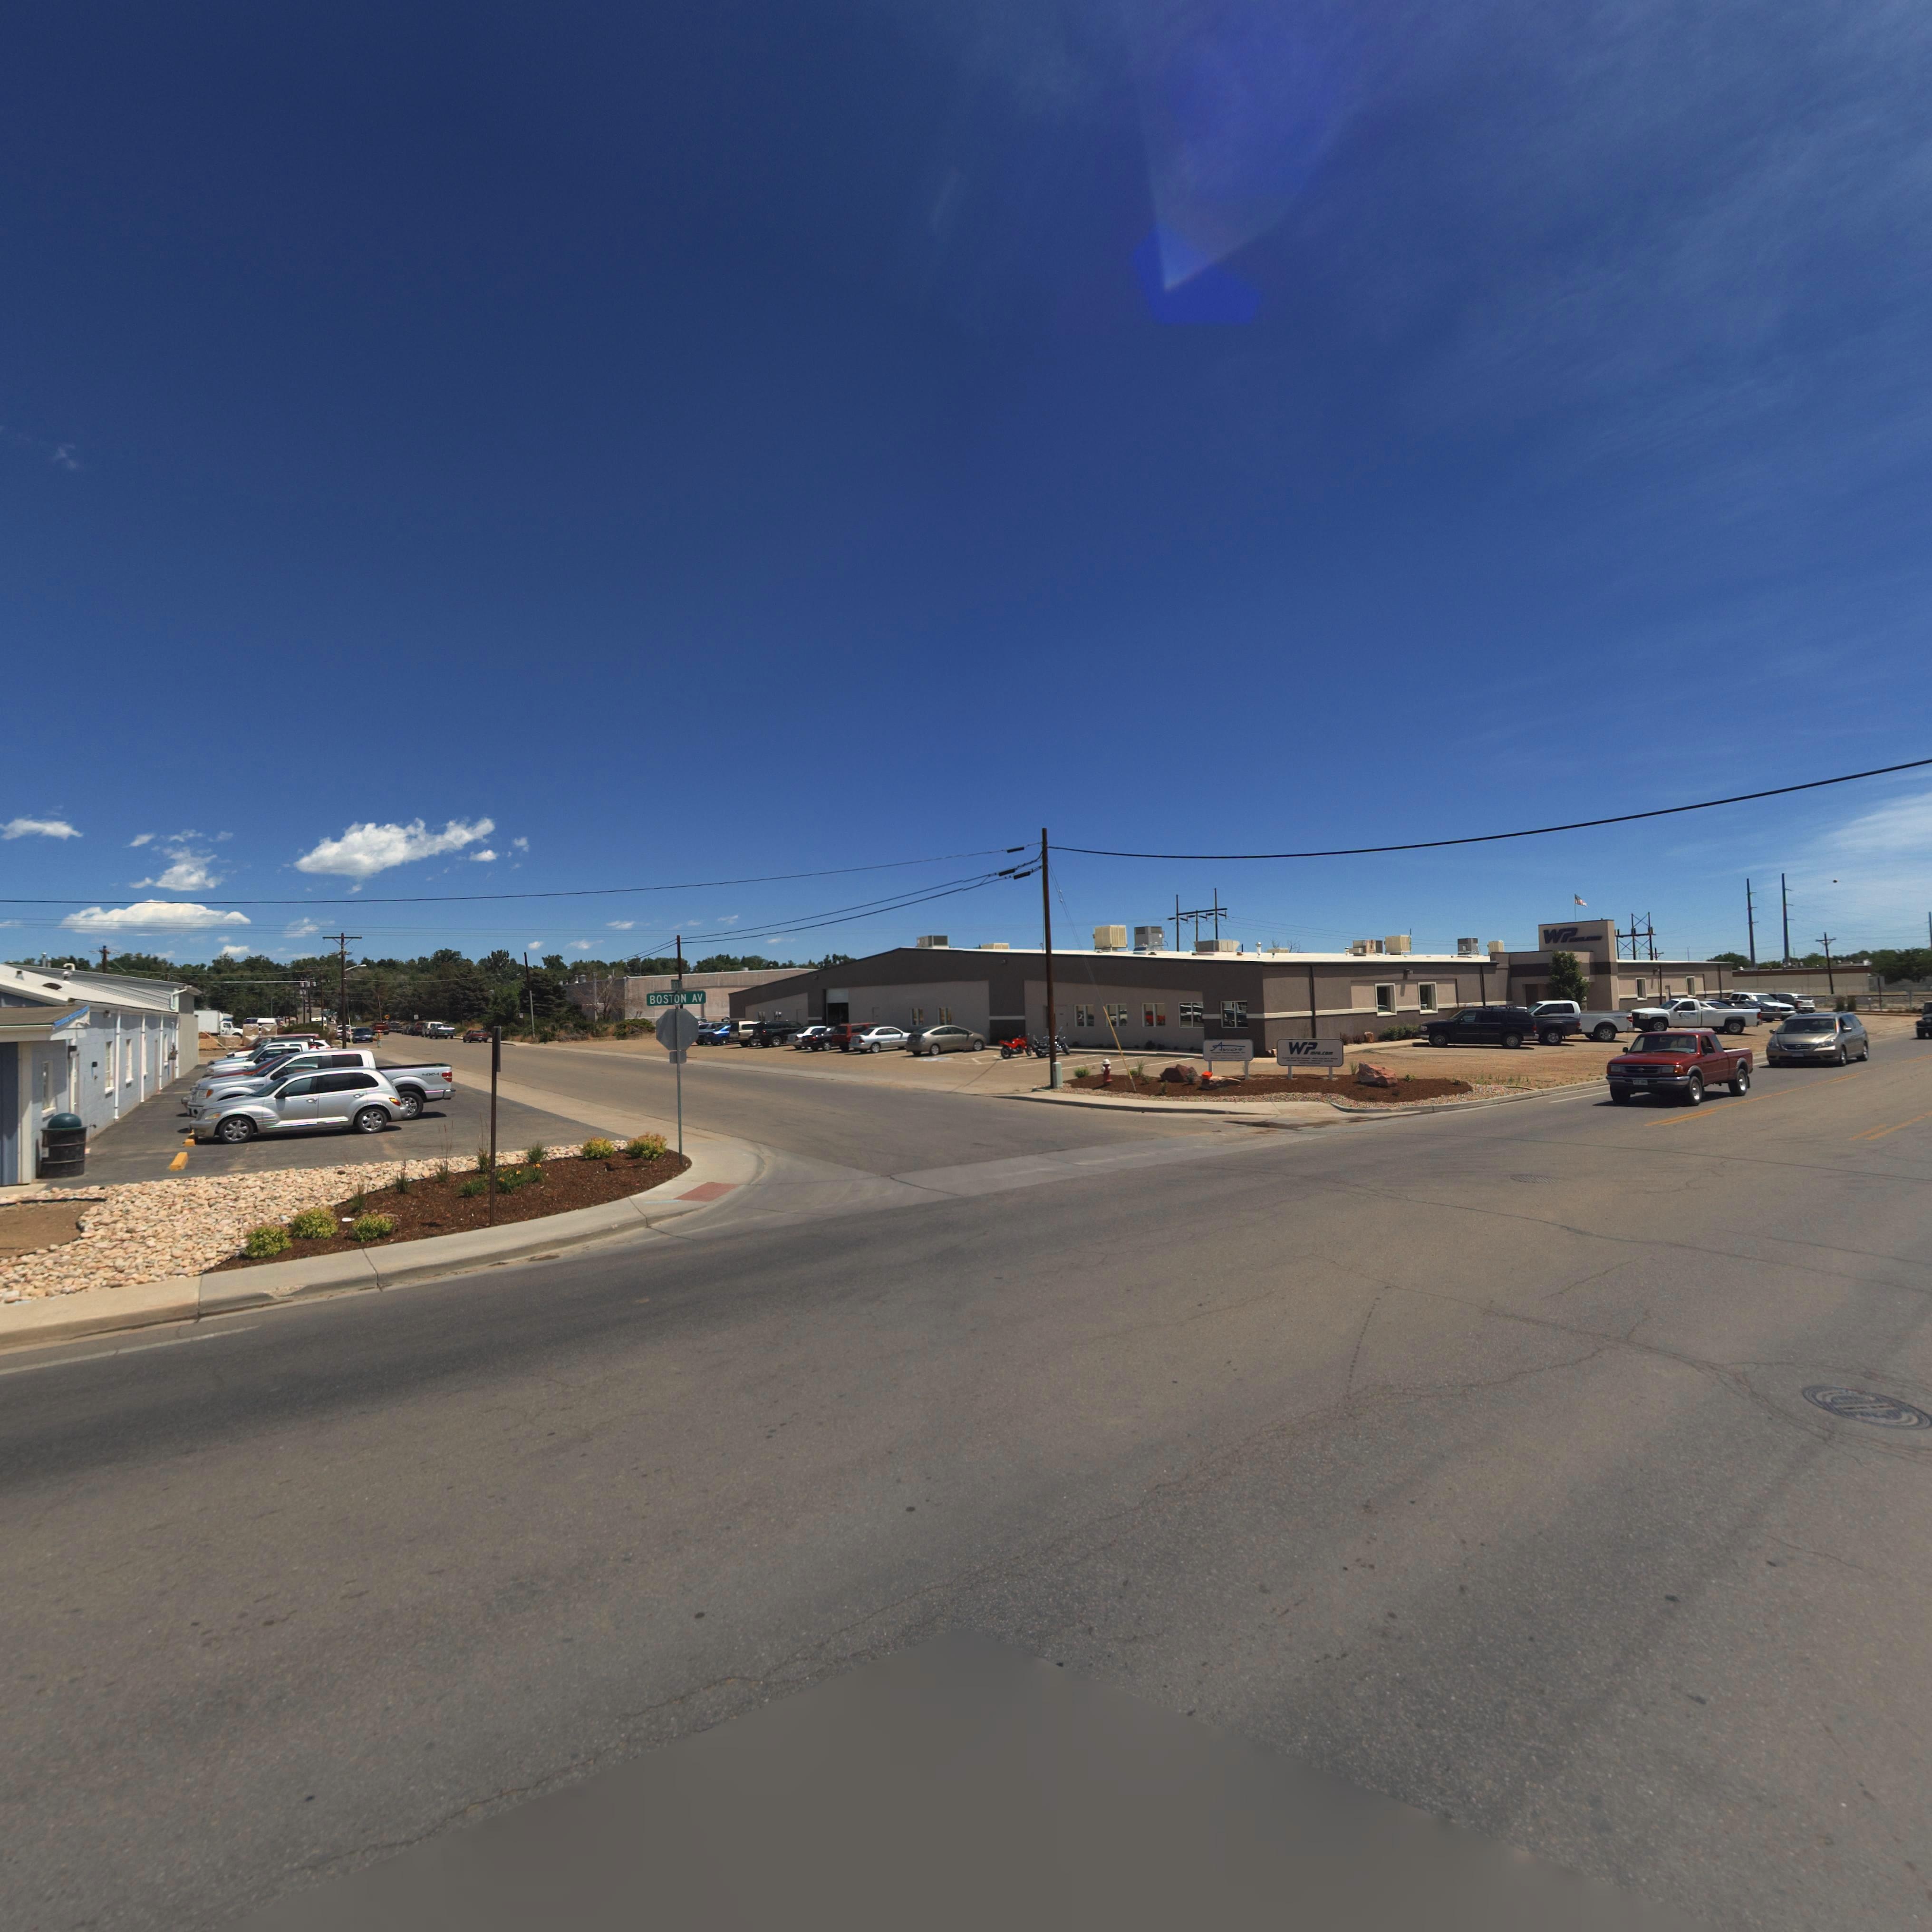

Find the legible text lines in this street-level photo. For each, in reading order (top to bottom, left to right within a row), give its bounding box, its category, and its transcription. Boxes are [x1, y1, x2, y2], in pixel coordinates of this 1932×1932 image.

[1542, 926, 1578, 944] BusinessName: WP
[649, 993, 703, 1005] StreetName: BOSTON AV
[1209, 1041, 1242, 1051] BusinessName: AVIO*
[1288, 1041, 1318, 1055] BusinessName: WP
[1309, 1051, 1333, 1055] BusinessName: ***.COM